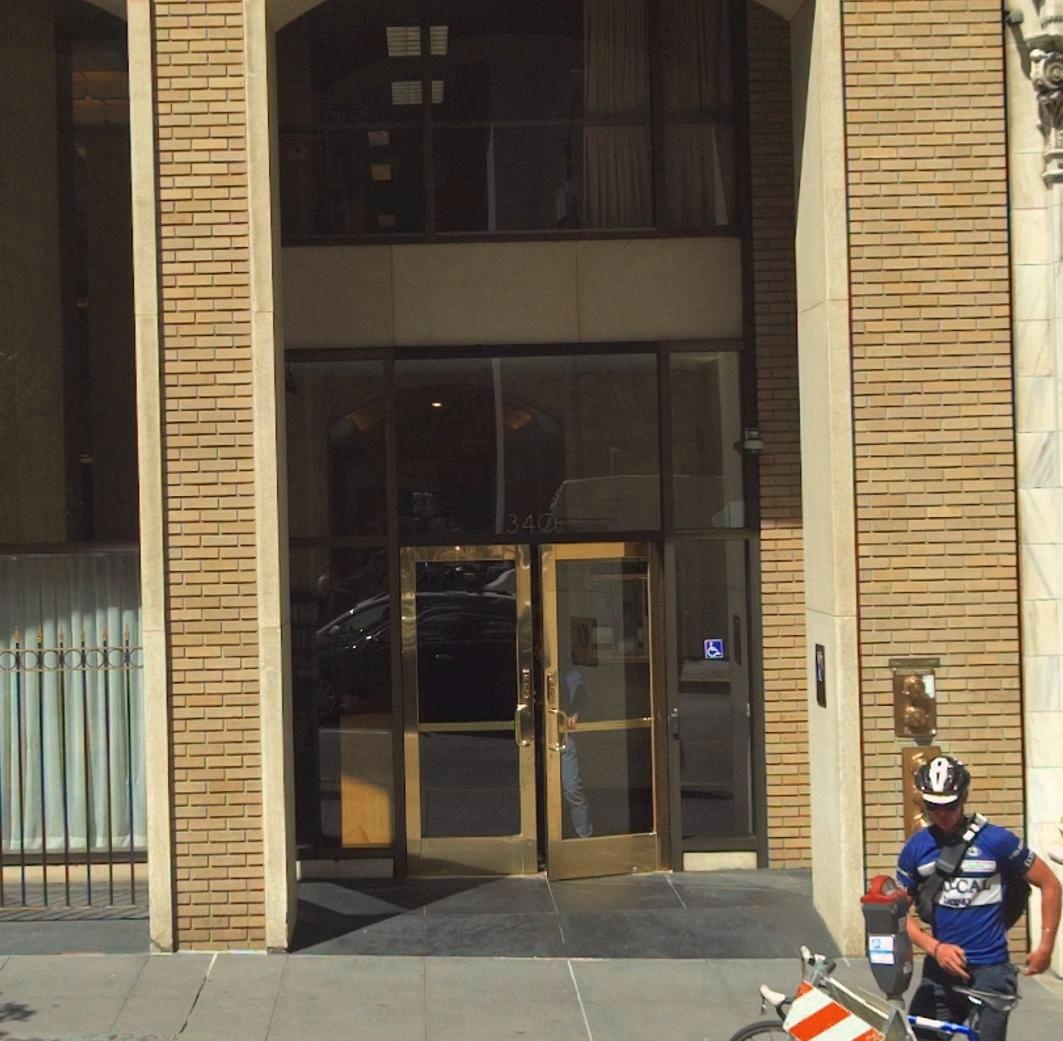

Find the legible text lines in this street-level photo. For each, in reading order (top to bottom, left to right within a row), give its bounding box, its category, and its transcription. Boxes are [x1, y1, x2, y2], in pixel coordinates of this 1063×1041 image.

[503, 512, 557, 535] StreetNumber: 340